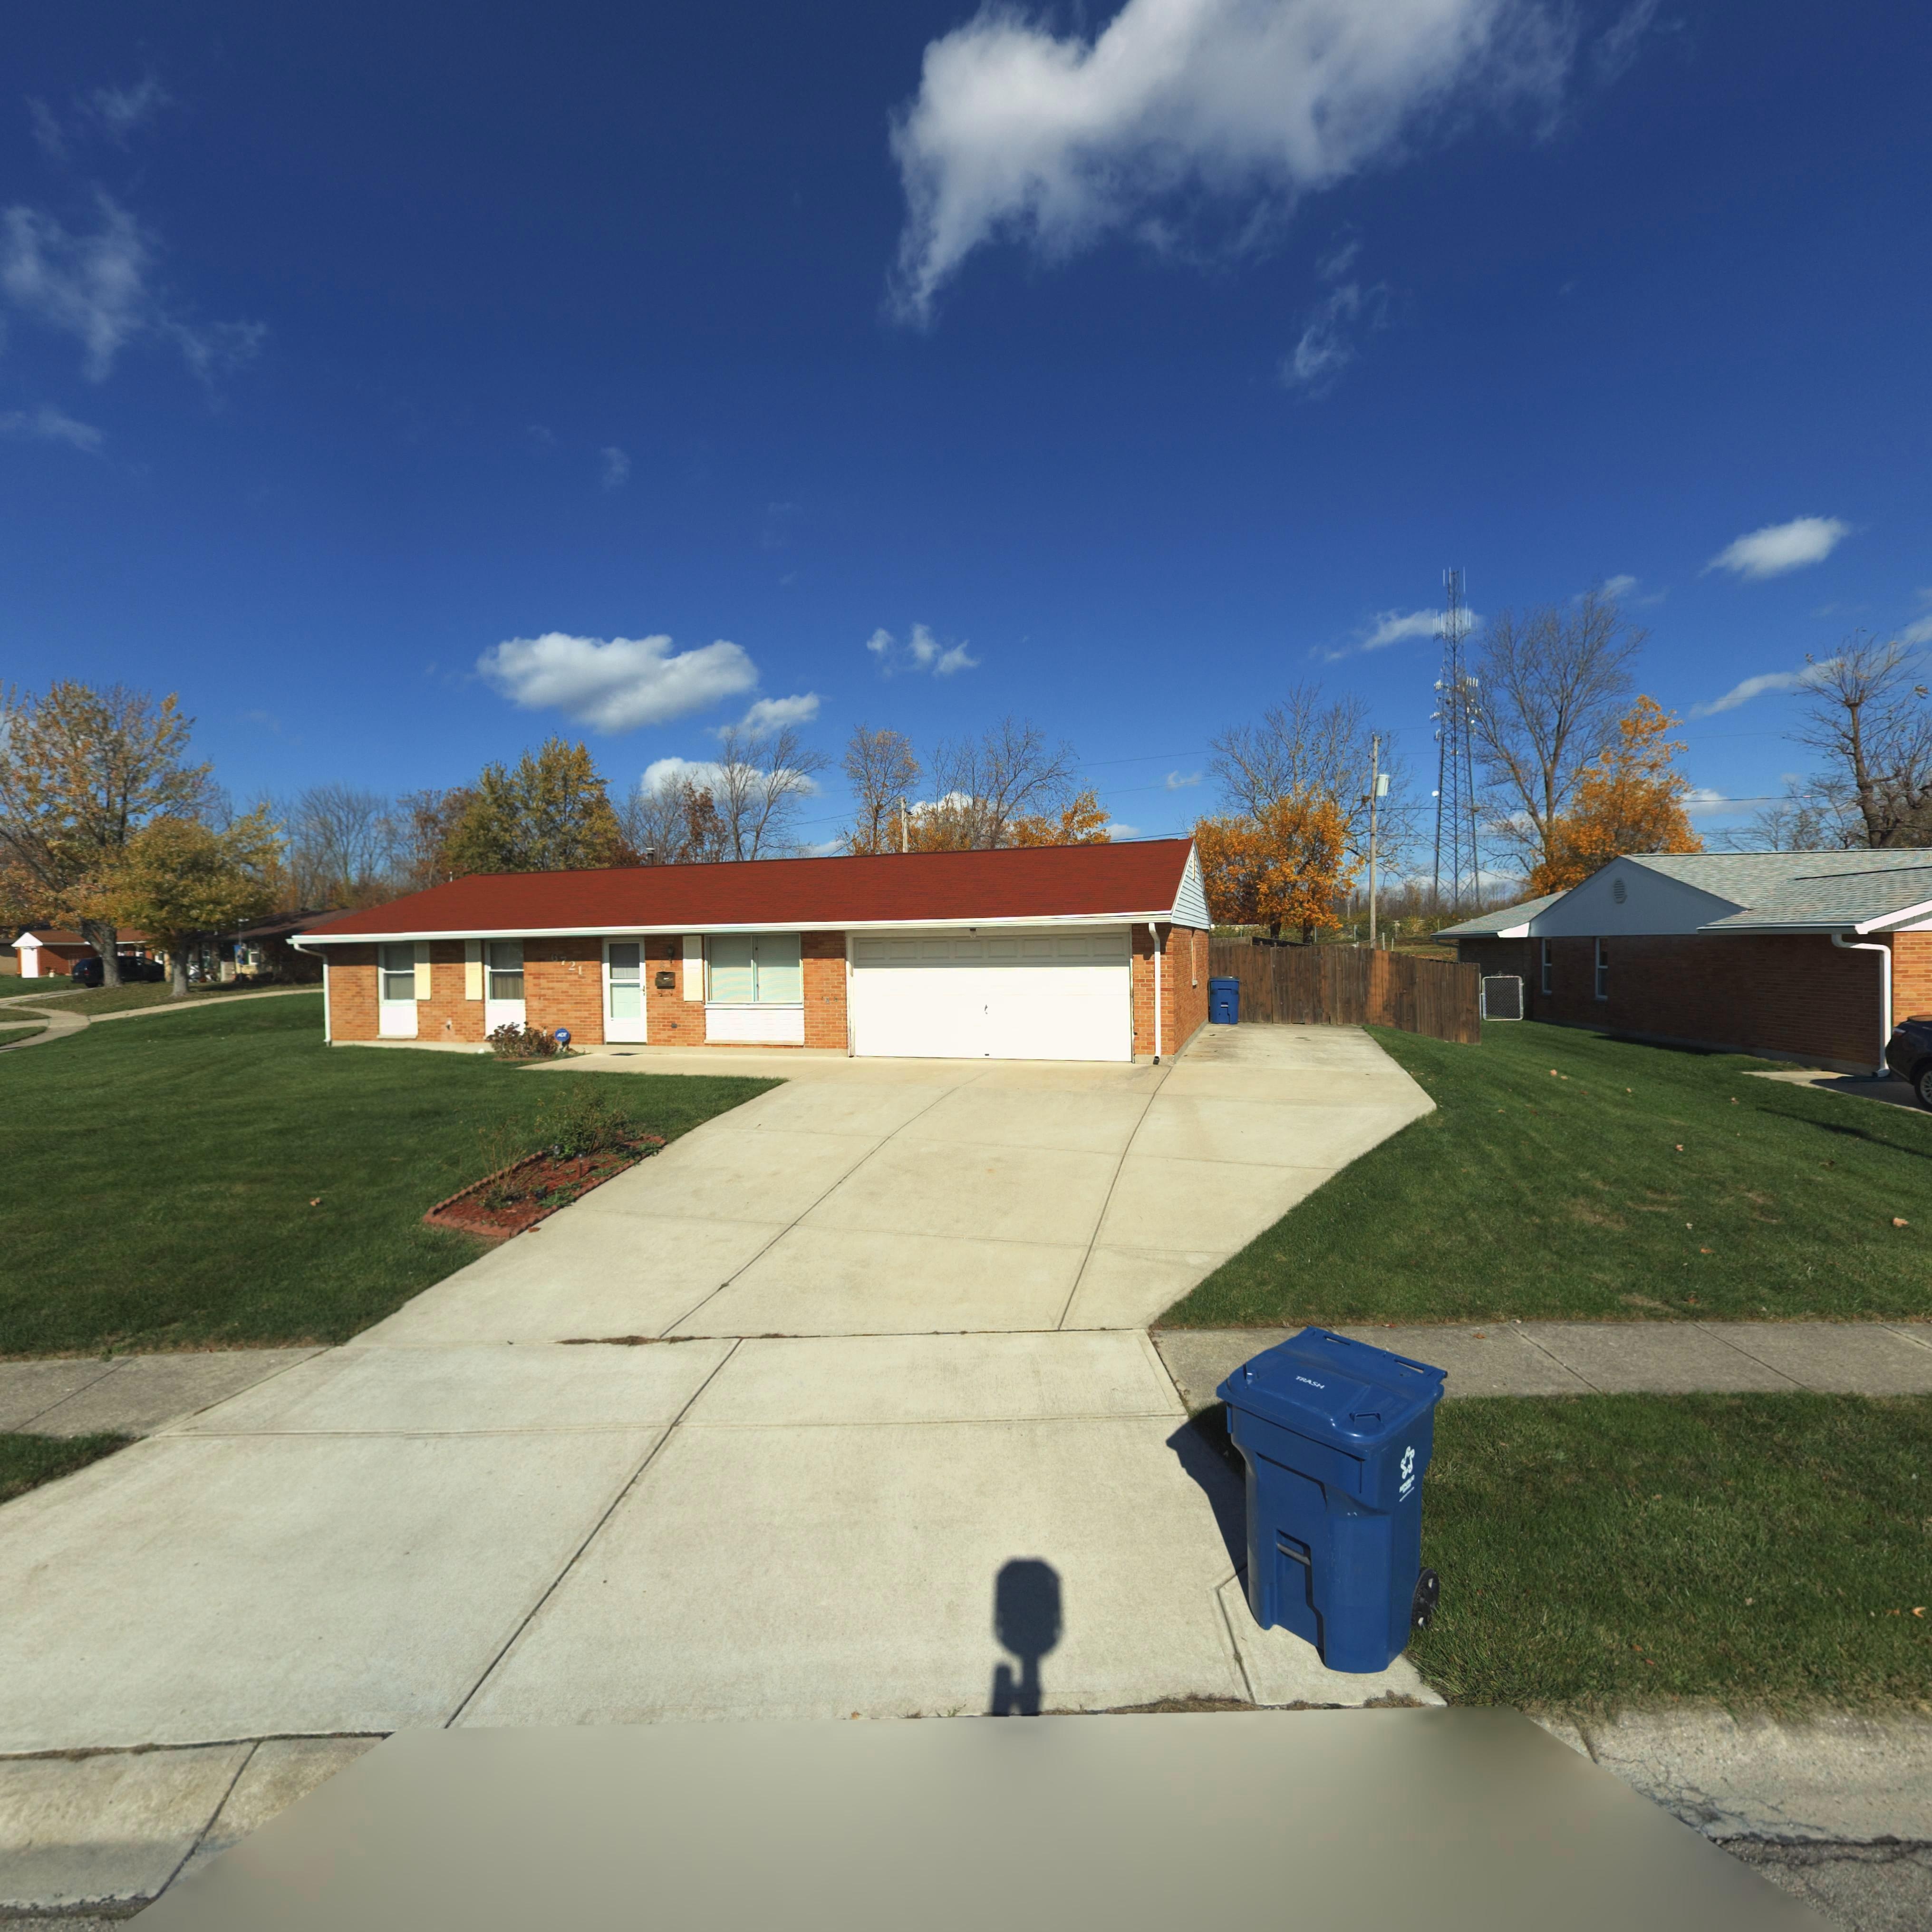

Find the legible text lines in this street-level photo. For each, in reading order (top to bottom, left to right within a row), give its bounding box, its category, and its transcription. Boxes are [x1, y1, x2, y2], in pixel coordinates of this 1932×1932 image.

[550, 950, 583, 977] StreetNumber: 6721